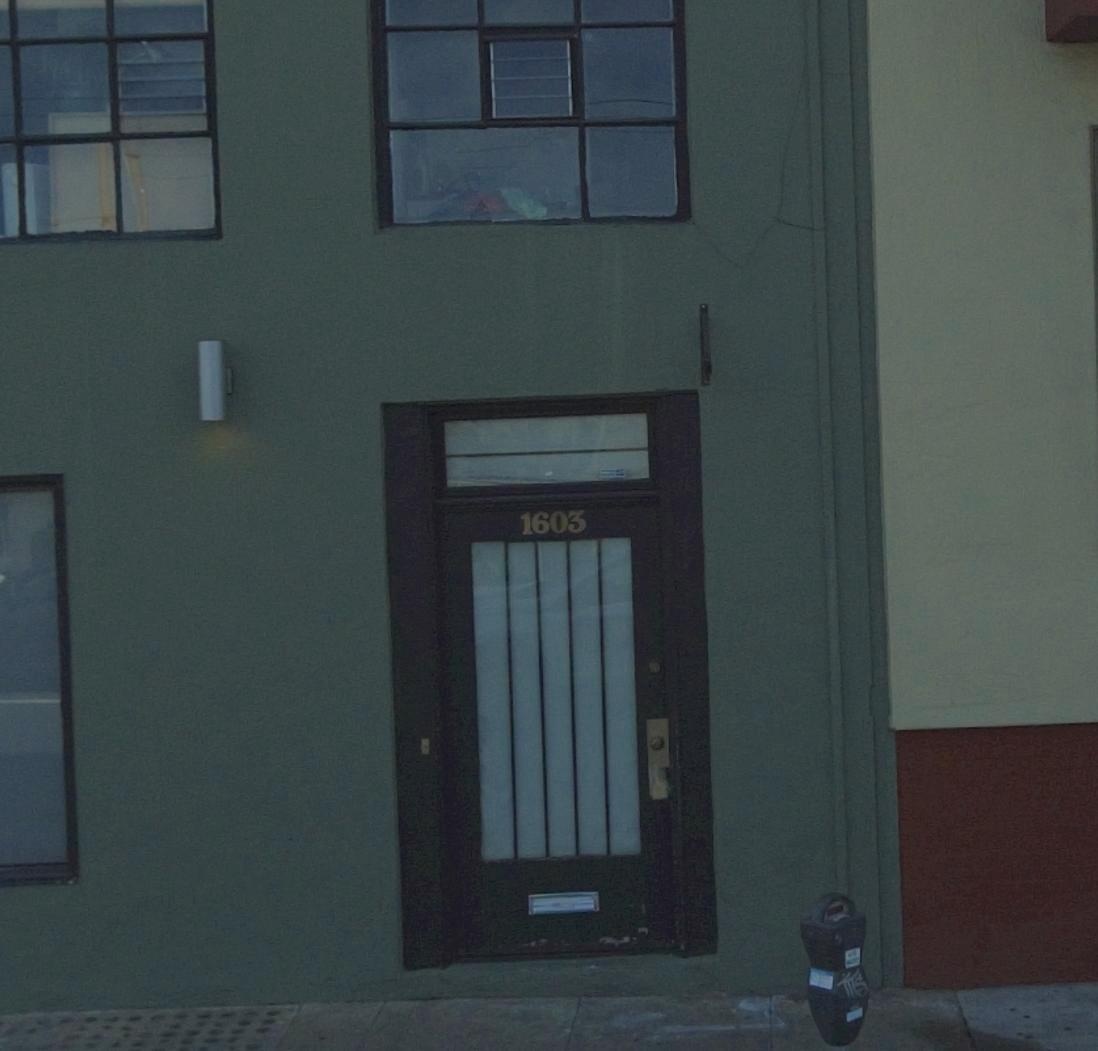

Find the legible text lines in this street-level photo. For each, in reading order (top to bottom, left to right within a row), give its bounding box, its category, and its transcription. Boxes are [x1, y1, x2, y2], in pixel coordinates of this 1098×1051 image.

[516, 504, 594, 539] StreetNumber: 1603